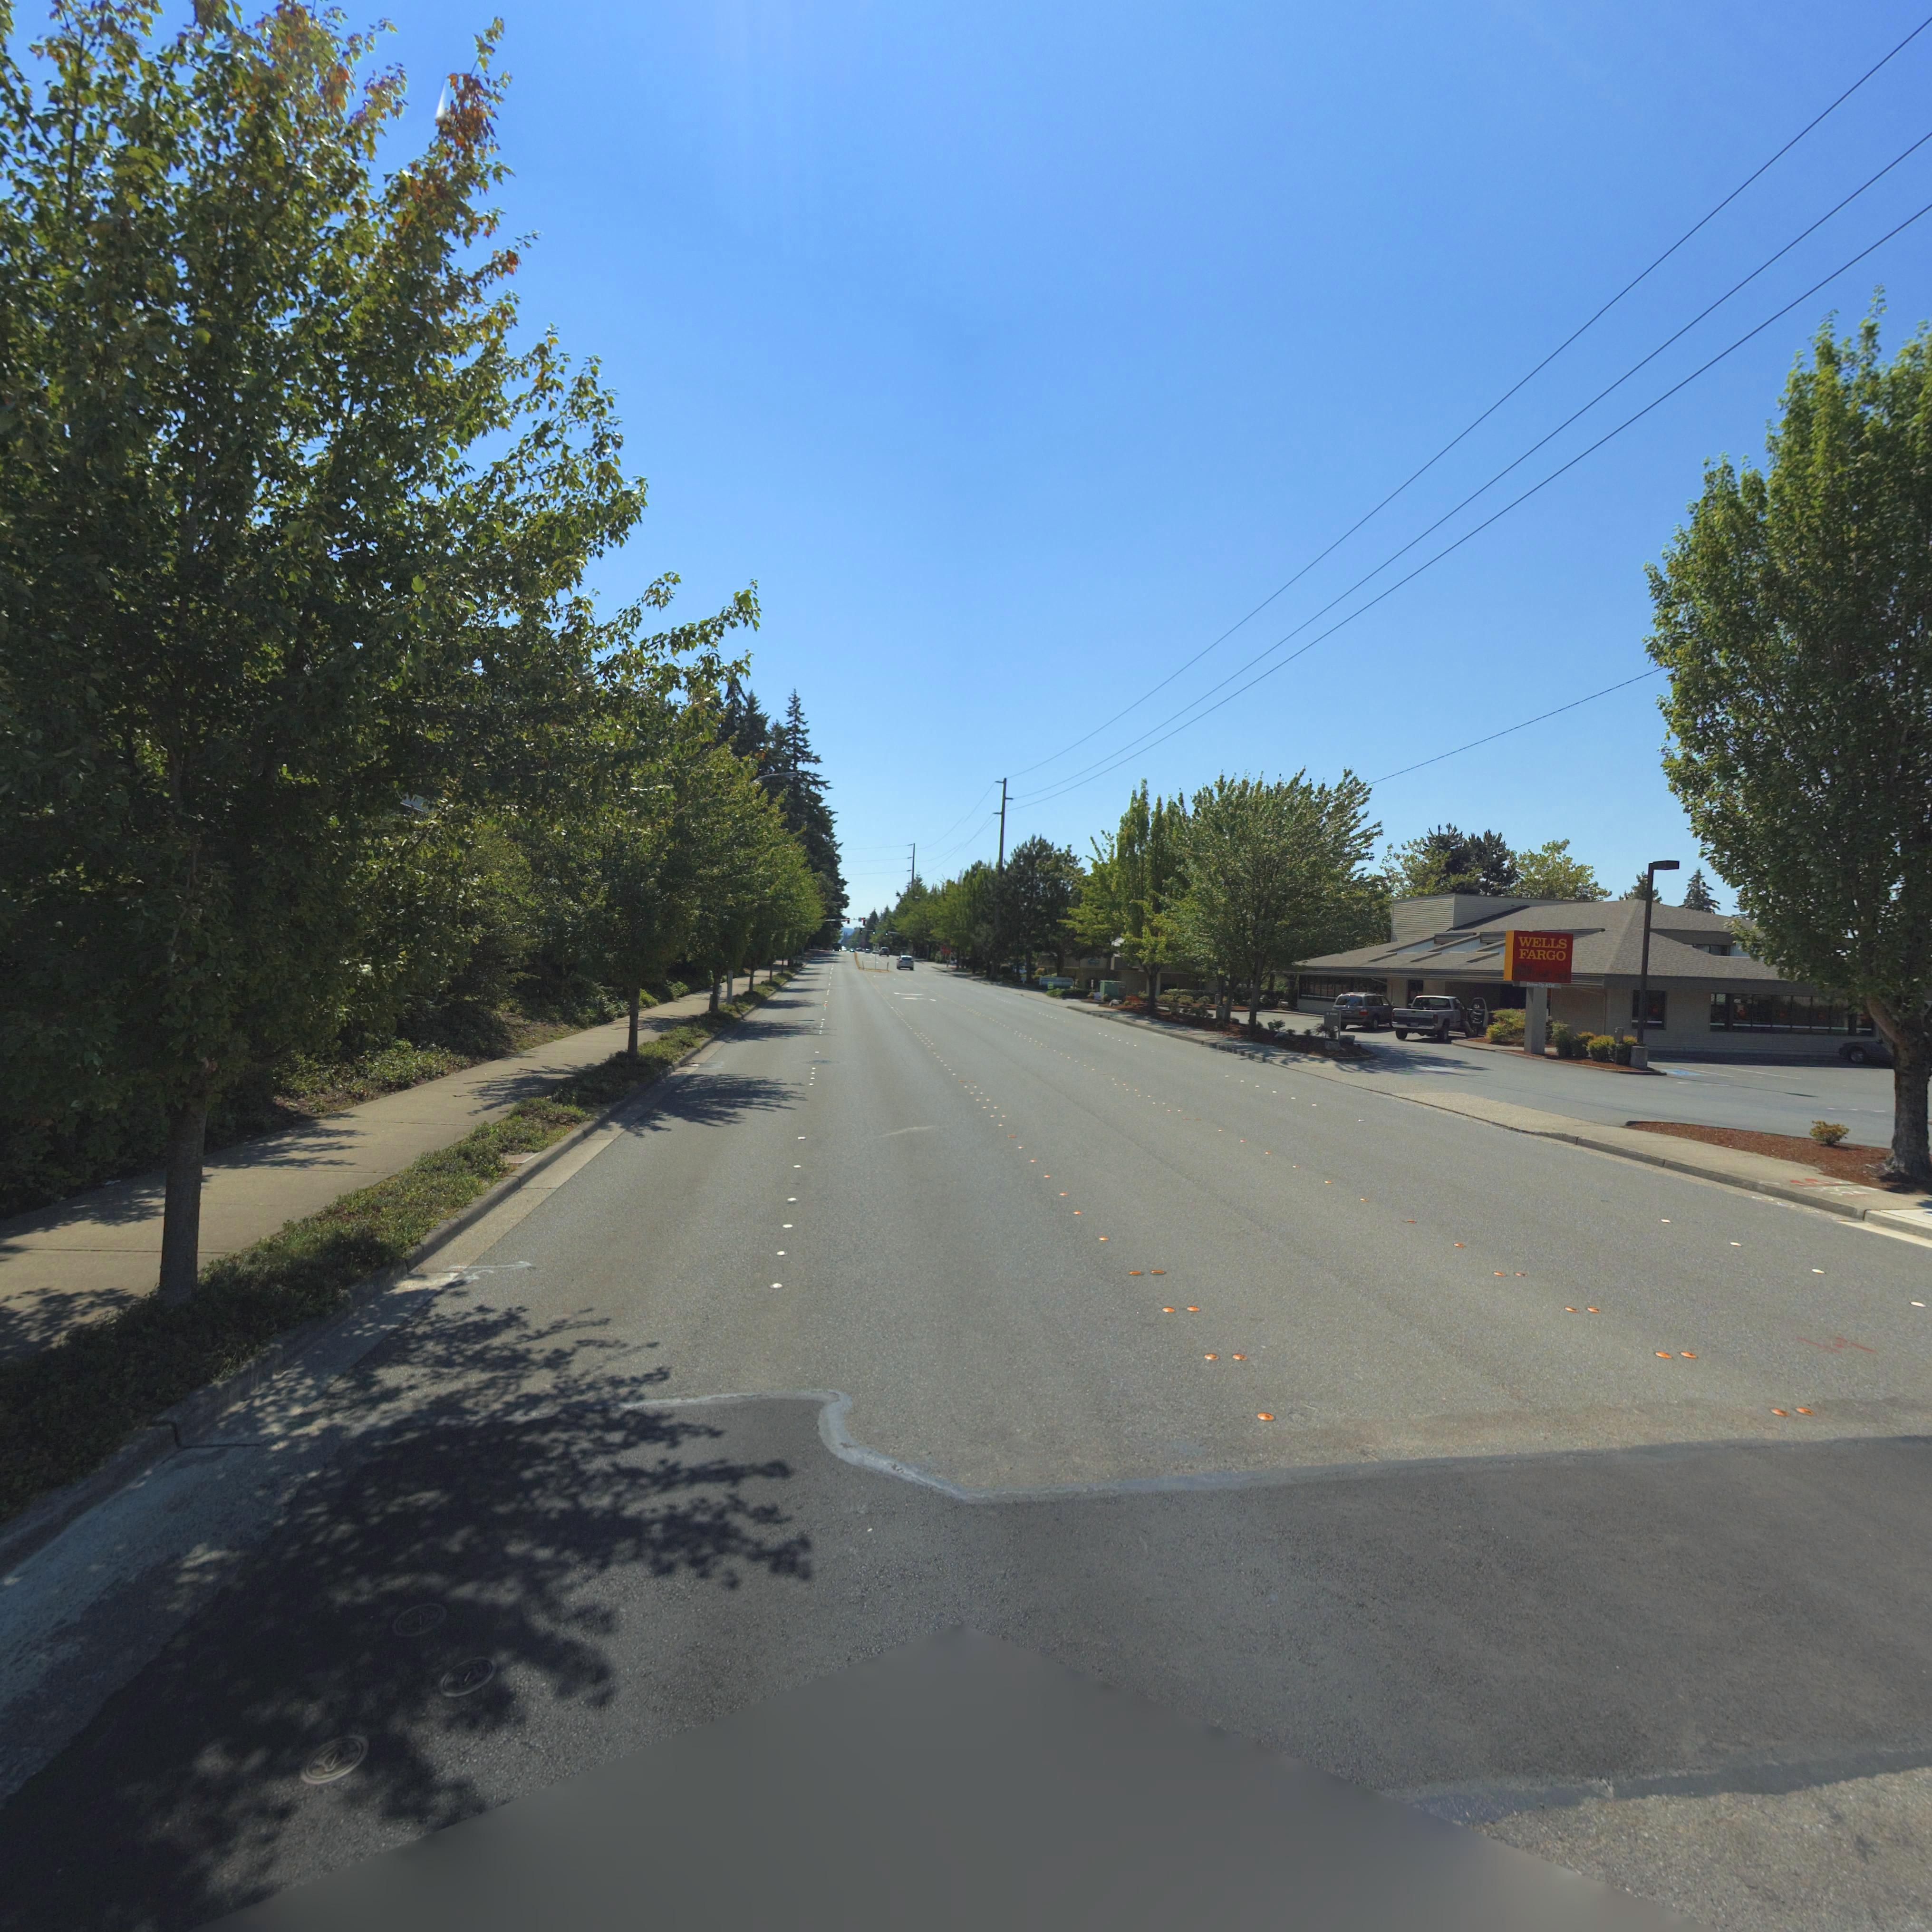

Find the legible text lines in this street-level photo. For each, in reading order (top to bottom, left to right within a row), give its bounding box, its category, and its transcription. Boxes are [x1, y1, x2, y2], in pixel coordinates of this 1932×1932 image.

[1518, 936, 1567, 949] BusinessName: WELLS
[1519, 948, 1566, 961] BusinessName: FARGO